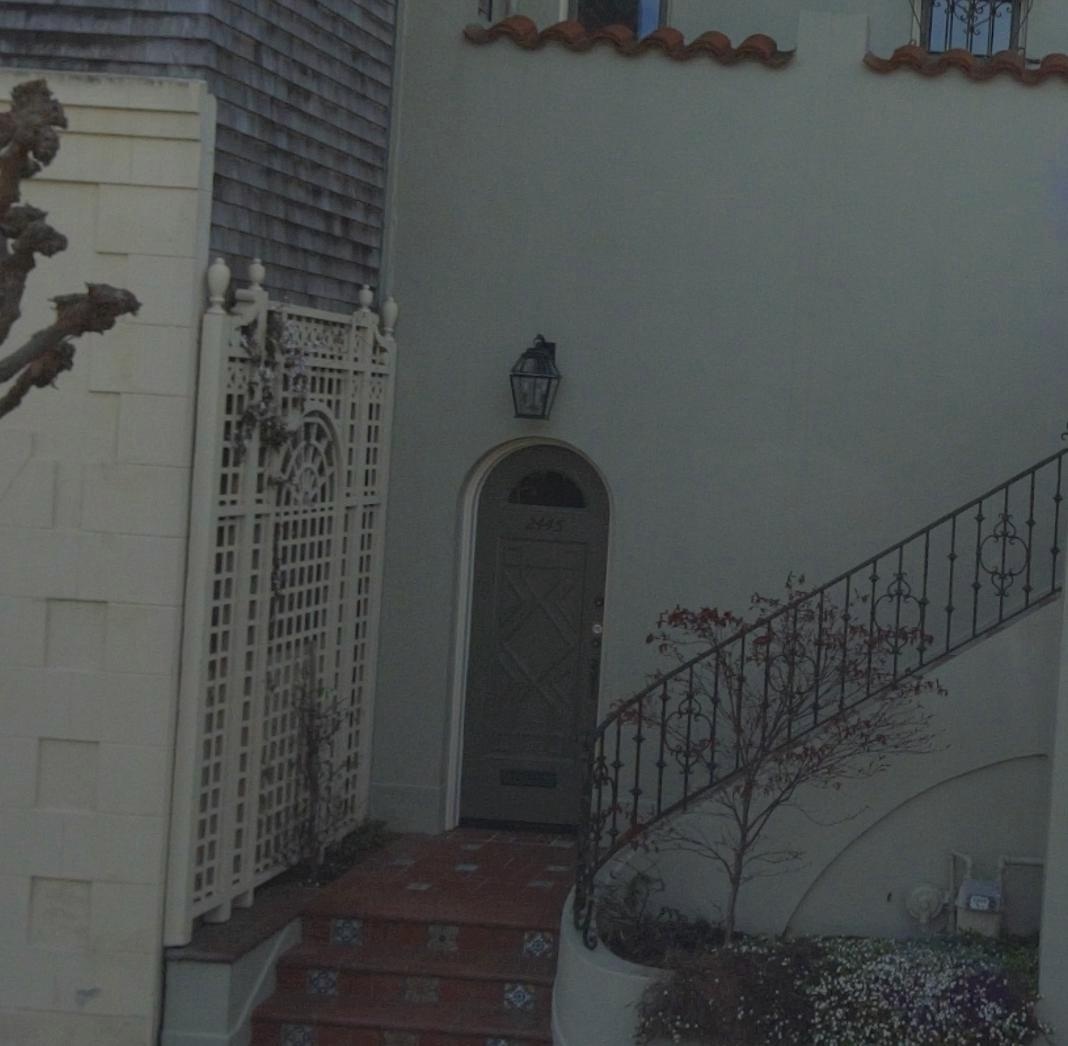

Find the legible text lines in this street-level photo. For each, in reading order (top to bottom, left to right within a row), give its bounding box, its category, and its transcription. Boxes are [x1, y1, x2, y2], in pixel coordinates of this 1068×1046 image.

[519, 515, 567, 535] StreetNumber: 2445